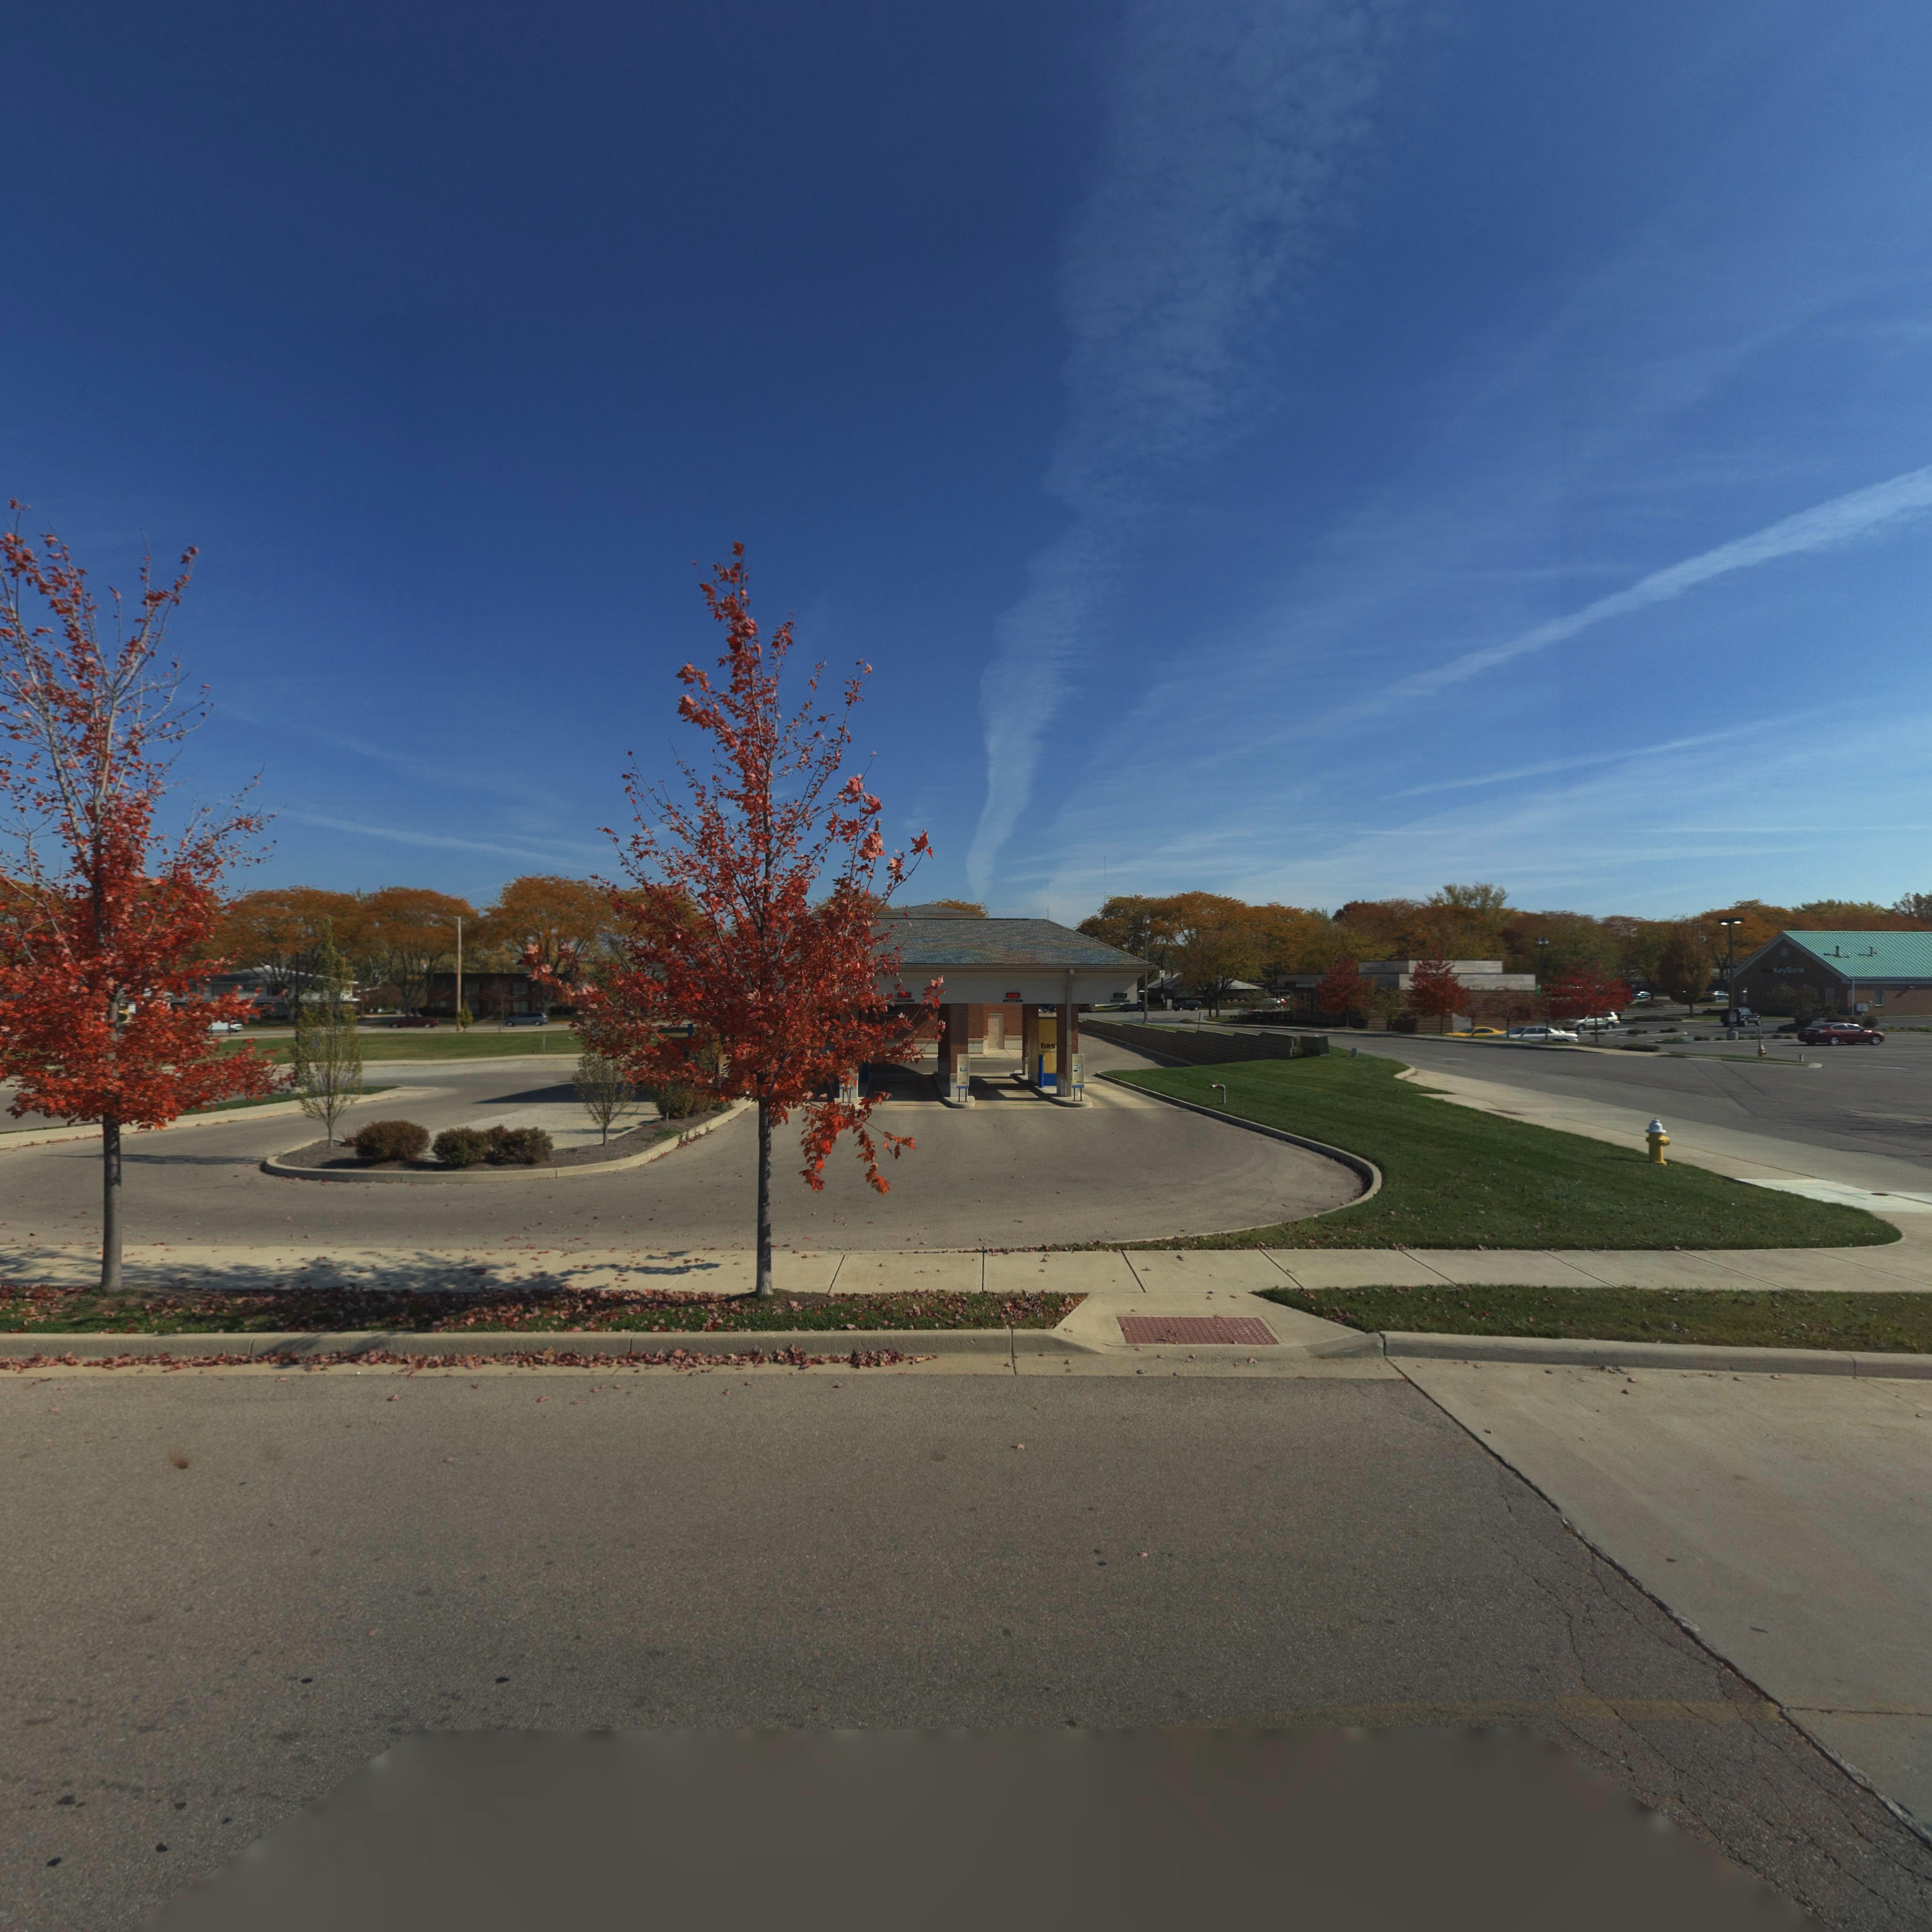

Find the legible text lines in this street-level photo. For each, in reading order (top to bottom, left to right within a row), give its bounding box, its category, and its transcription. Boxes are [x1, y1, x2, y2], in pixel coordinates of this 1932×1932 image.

[1772, 965, 1807, 976] BusinessName: Ke*B***
[1039, 1042, 1056, 1050] BusinessName: fIRS